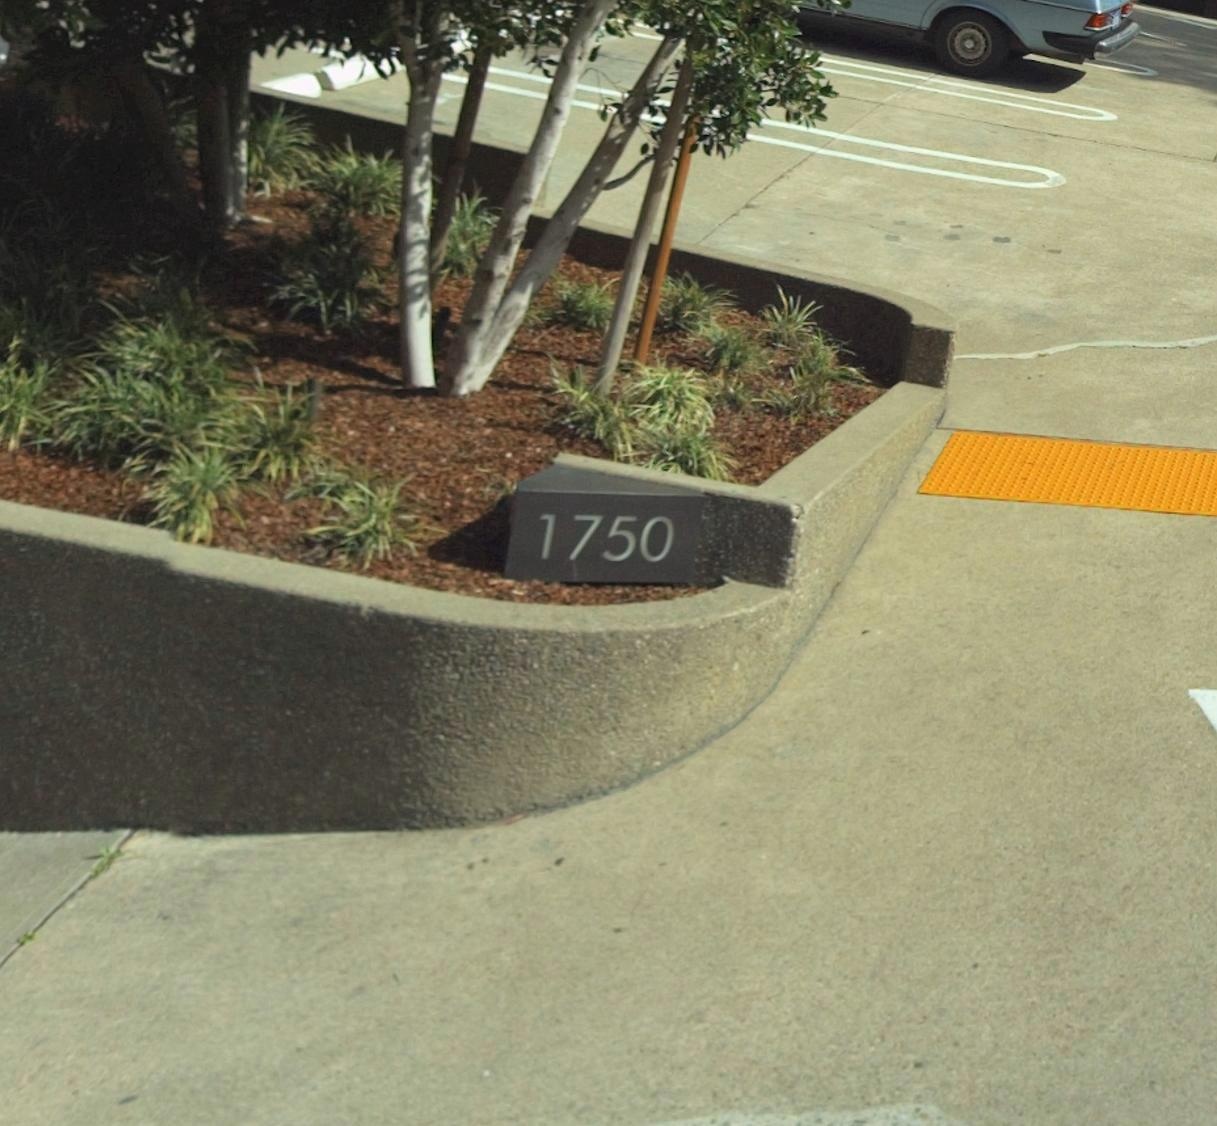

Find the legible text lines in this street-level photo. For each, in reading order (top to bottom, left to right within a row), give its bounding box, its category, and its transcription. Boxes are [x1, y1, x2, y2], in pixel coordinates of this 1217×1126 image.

[537, 511, 680, 565] StreetNumber: 1750